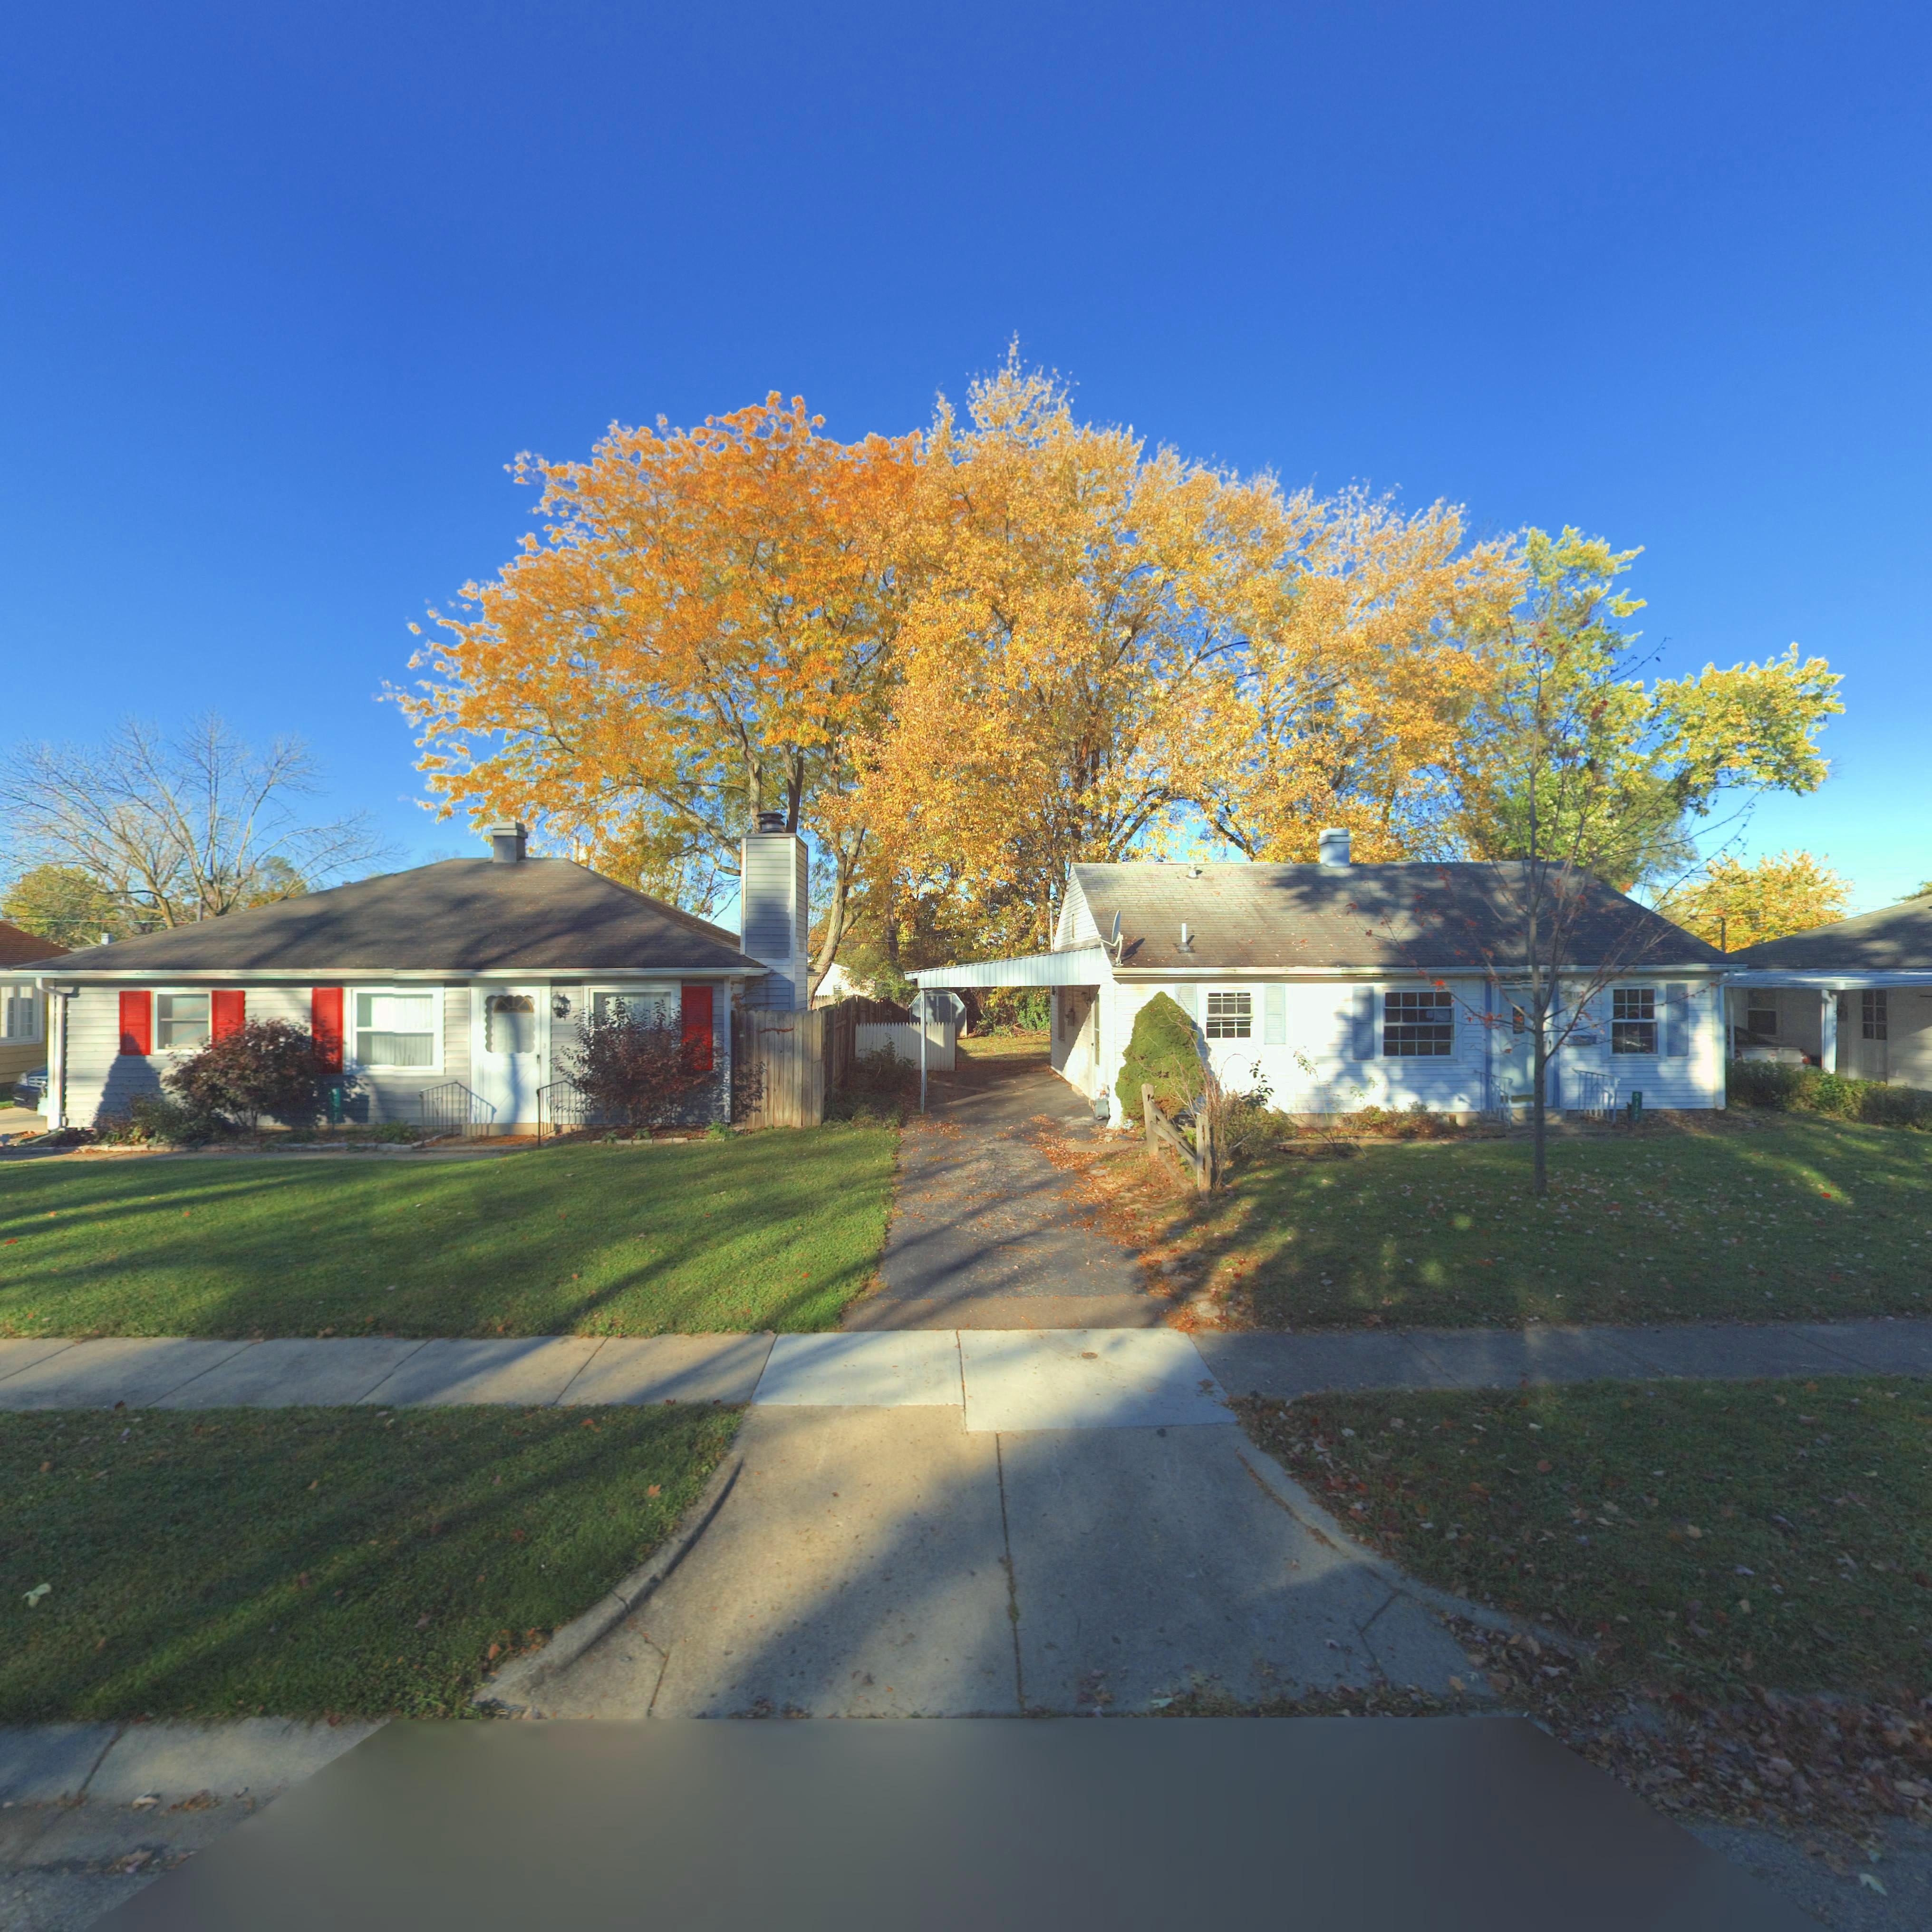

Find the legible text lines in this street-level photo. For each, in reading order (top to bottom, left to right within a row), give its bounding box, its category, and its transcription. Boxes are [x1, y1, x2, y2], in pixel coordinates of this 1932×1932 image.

[332, 1088, 337, 1095] StreetNumber: 5